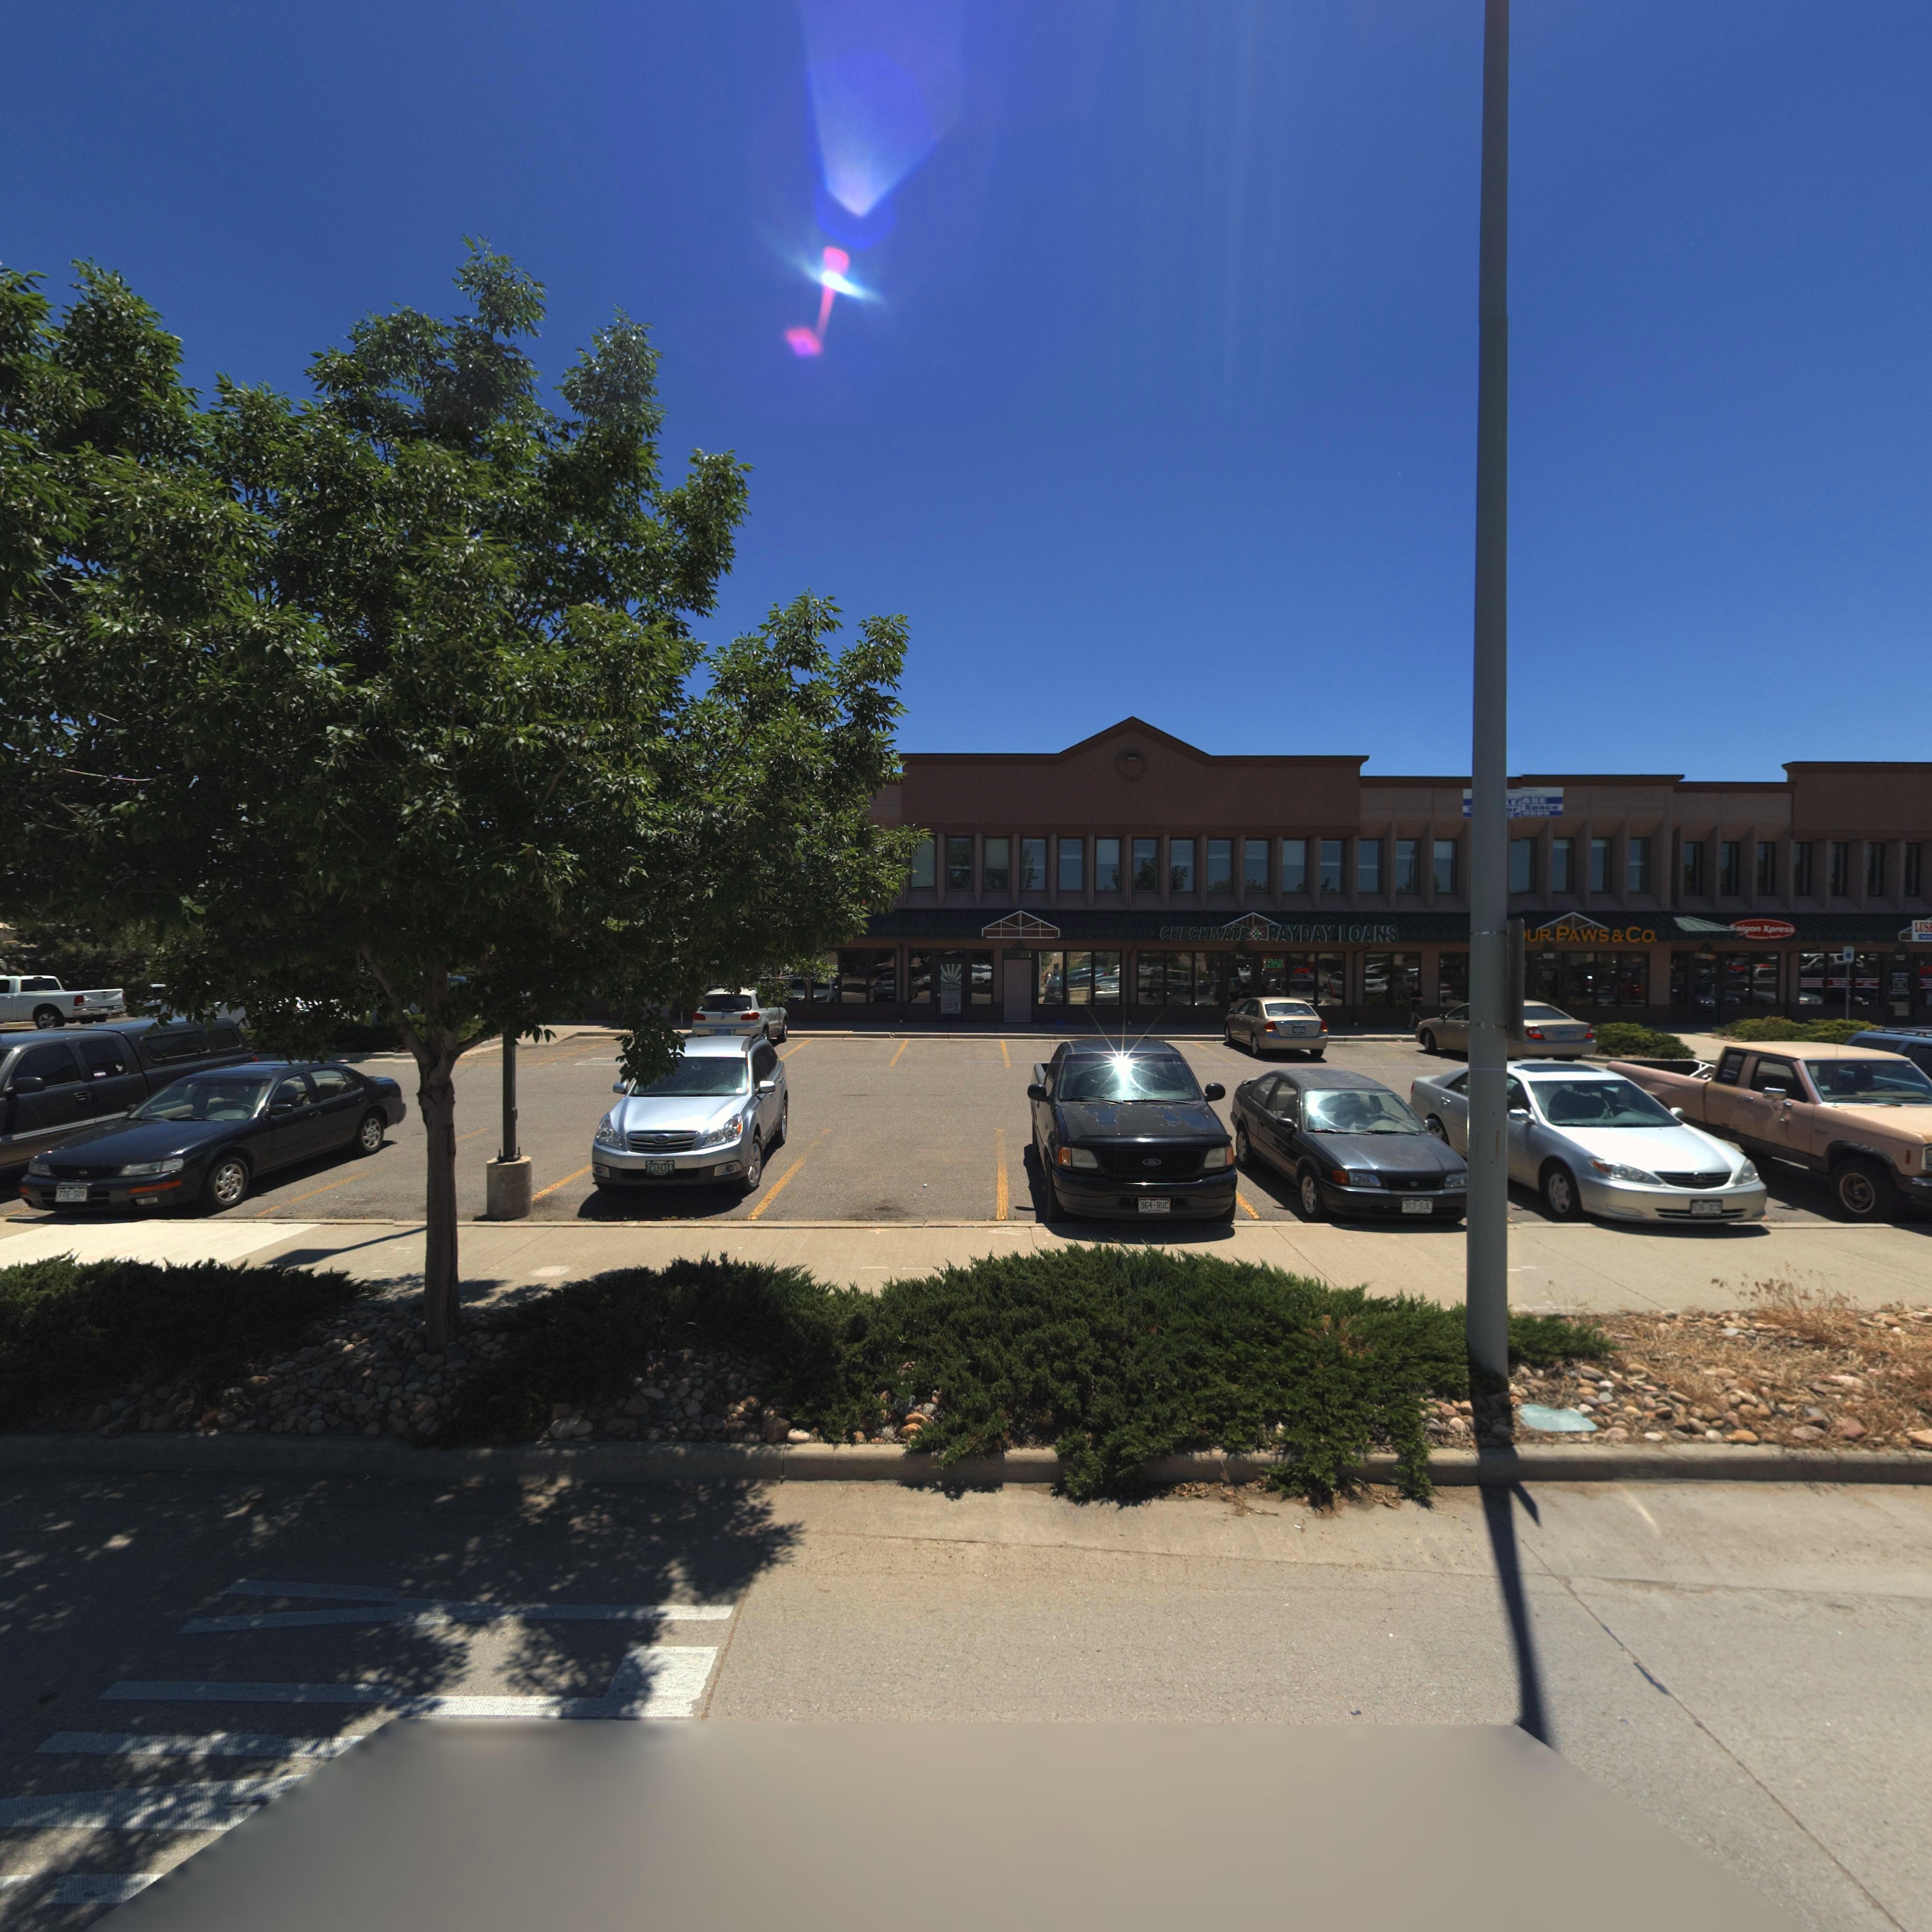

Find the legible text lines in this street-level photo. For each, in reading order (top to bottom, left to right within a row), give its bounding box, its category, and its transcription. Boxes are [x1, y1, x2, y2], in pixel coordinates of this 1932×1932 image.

[1159, 923, 1400, 944] BusinessName: CHECKMATE*PAYDAY LOANS
[1522, 925, 1654, 943] BusinessName: UR PAWS*Co
[1729, 923, 1795, 934] BusinessName: *aigon Xpress
[1913, 920, 1929, 933] BusinessName: LUS
[1541, 952, 1555, 959] StreetNumber: 108
[1894, 954, 1905, 961] StreetNumber: 112